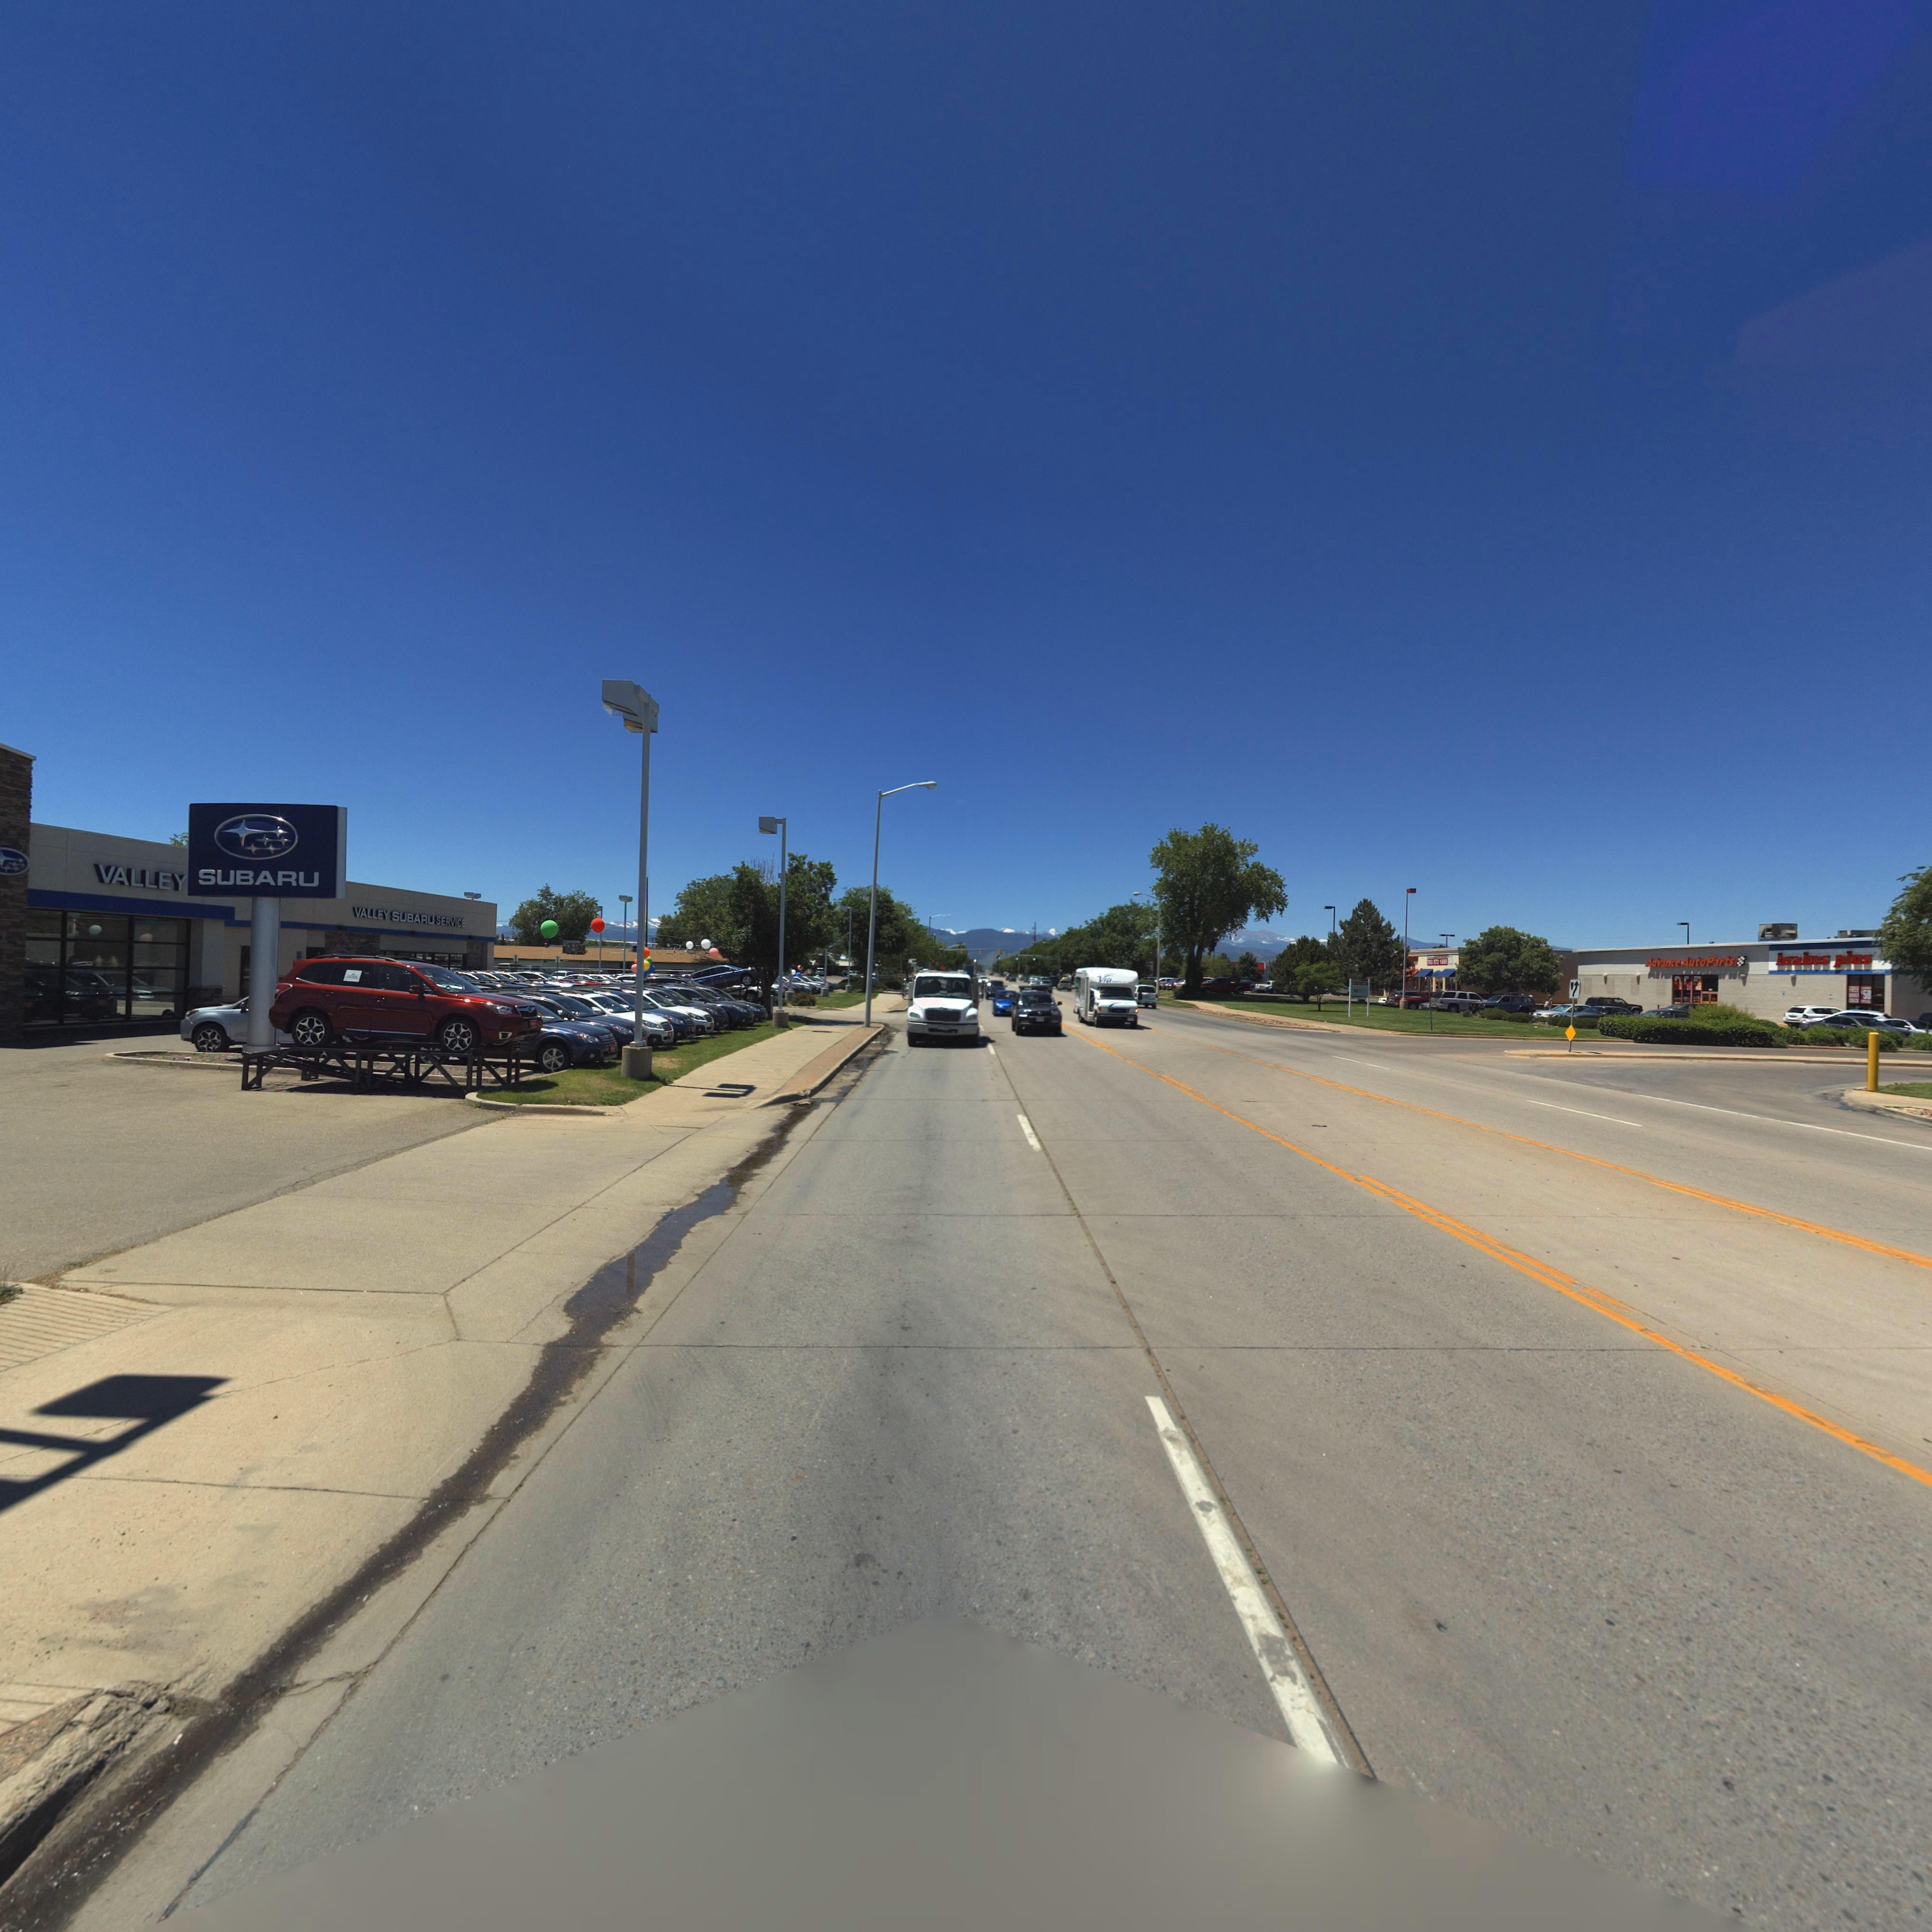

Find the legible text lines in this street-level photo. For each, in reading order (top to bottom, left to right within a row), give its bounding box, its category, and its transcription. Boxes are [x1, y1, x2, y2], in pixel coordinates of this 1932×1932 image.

[96, 864, 189, 892] BusinessName: VALLEY
[198, 868, 320, 888] BusinessName: SUBARU
[353, 907, 466, 928] BusinessName: VALLEY SUBARU SERVICE
[1644, 956, 1736, 967] BusinessName: Advance AutoParts
[1775, 949, 1873, 968] BusinessName: brakes plus